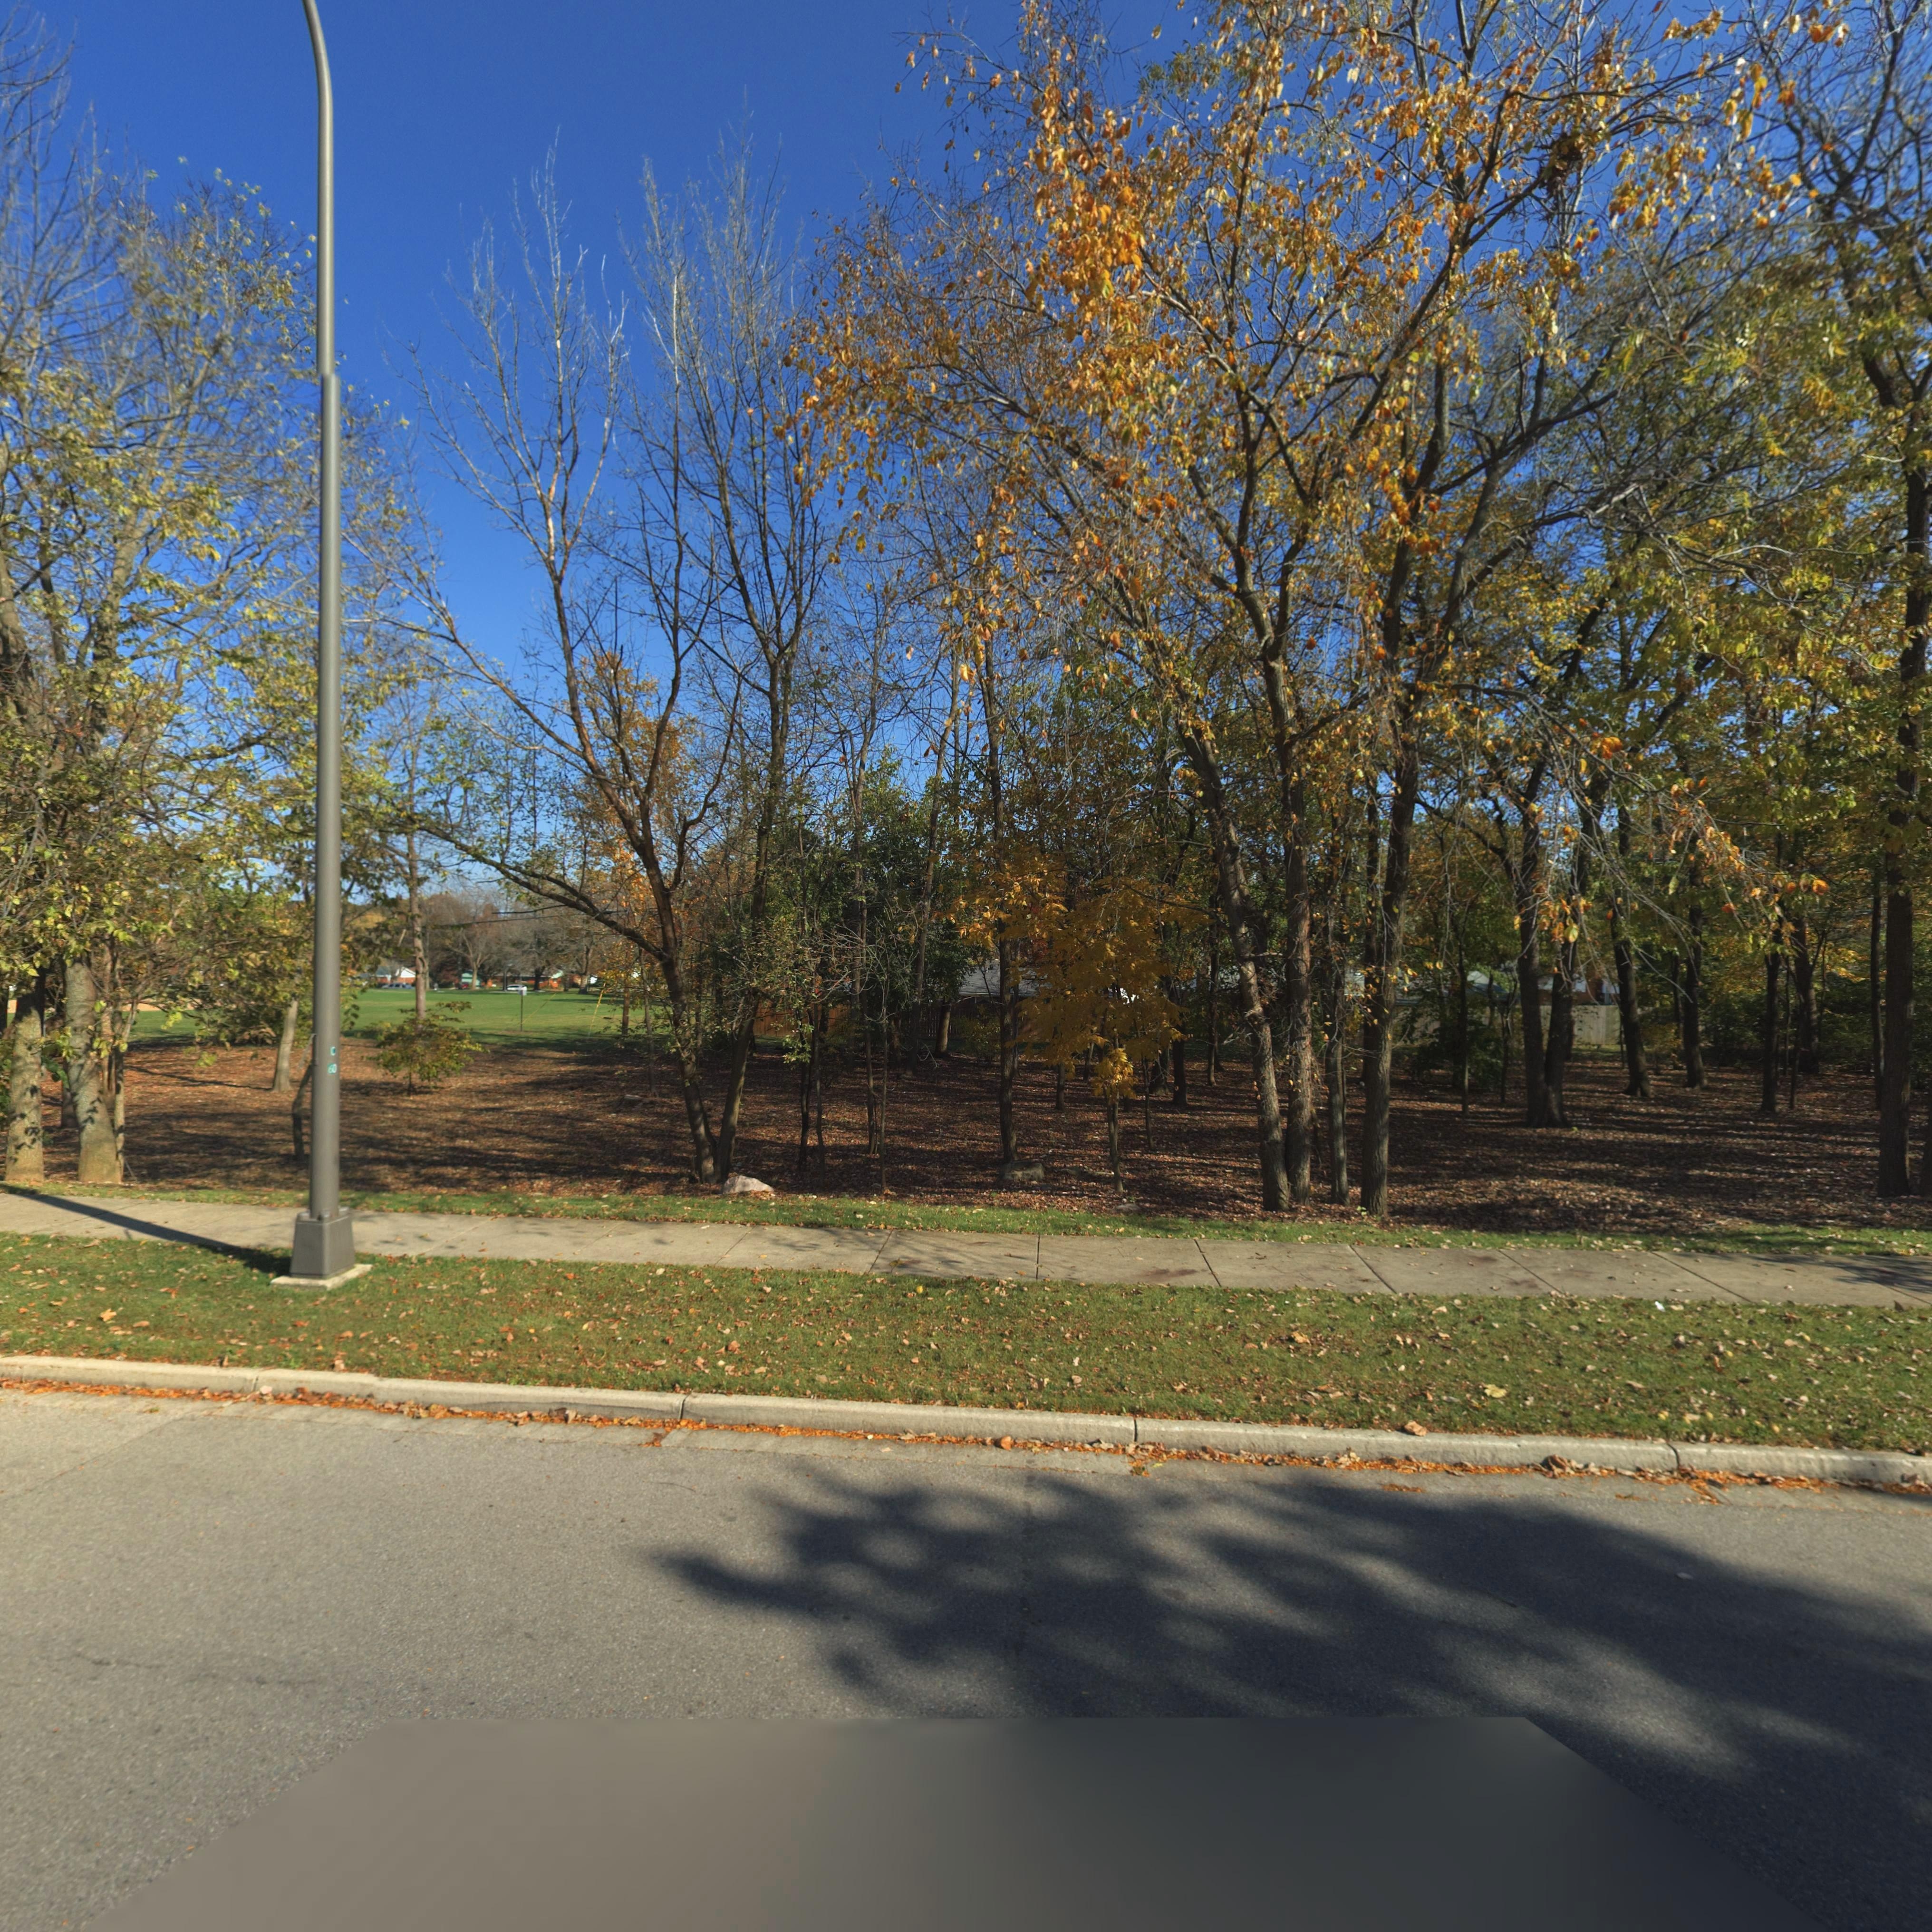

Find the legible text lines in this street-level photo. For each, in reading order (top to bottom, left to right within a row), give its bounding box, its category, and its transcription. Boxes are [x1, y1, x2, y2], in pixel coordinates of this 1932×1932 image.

[329, 1046, 337, 1056] None: C
[328, 1063, 338, 1074] None: 60